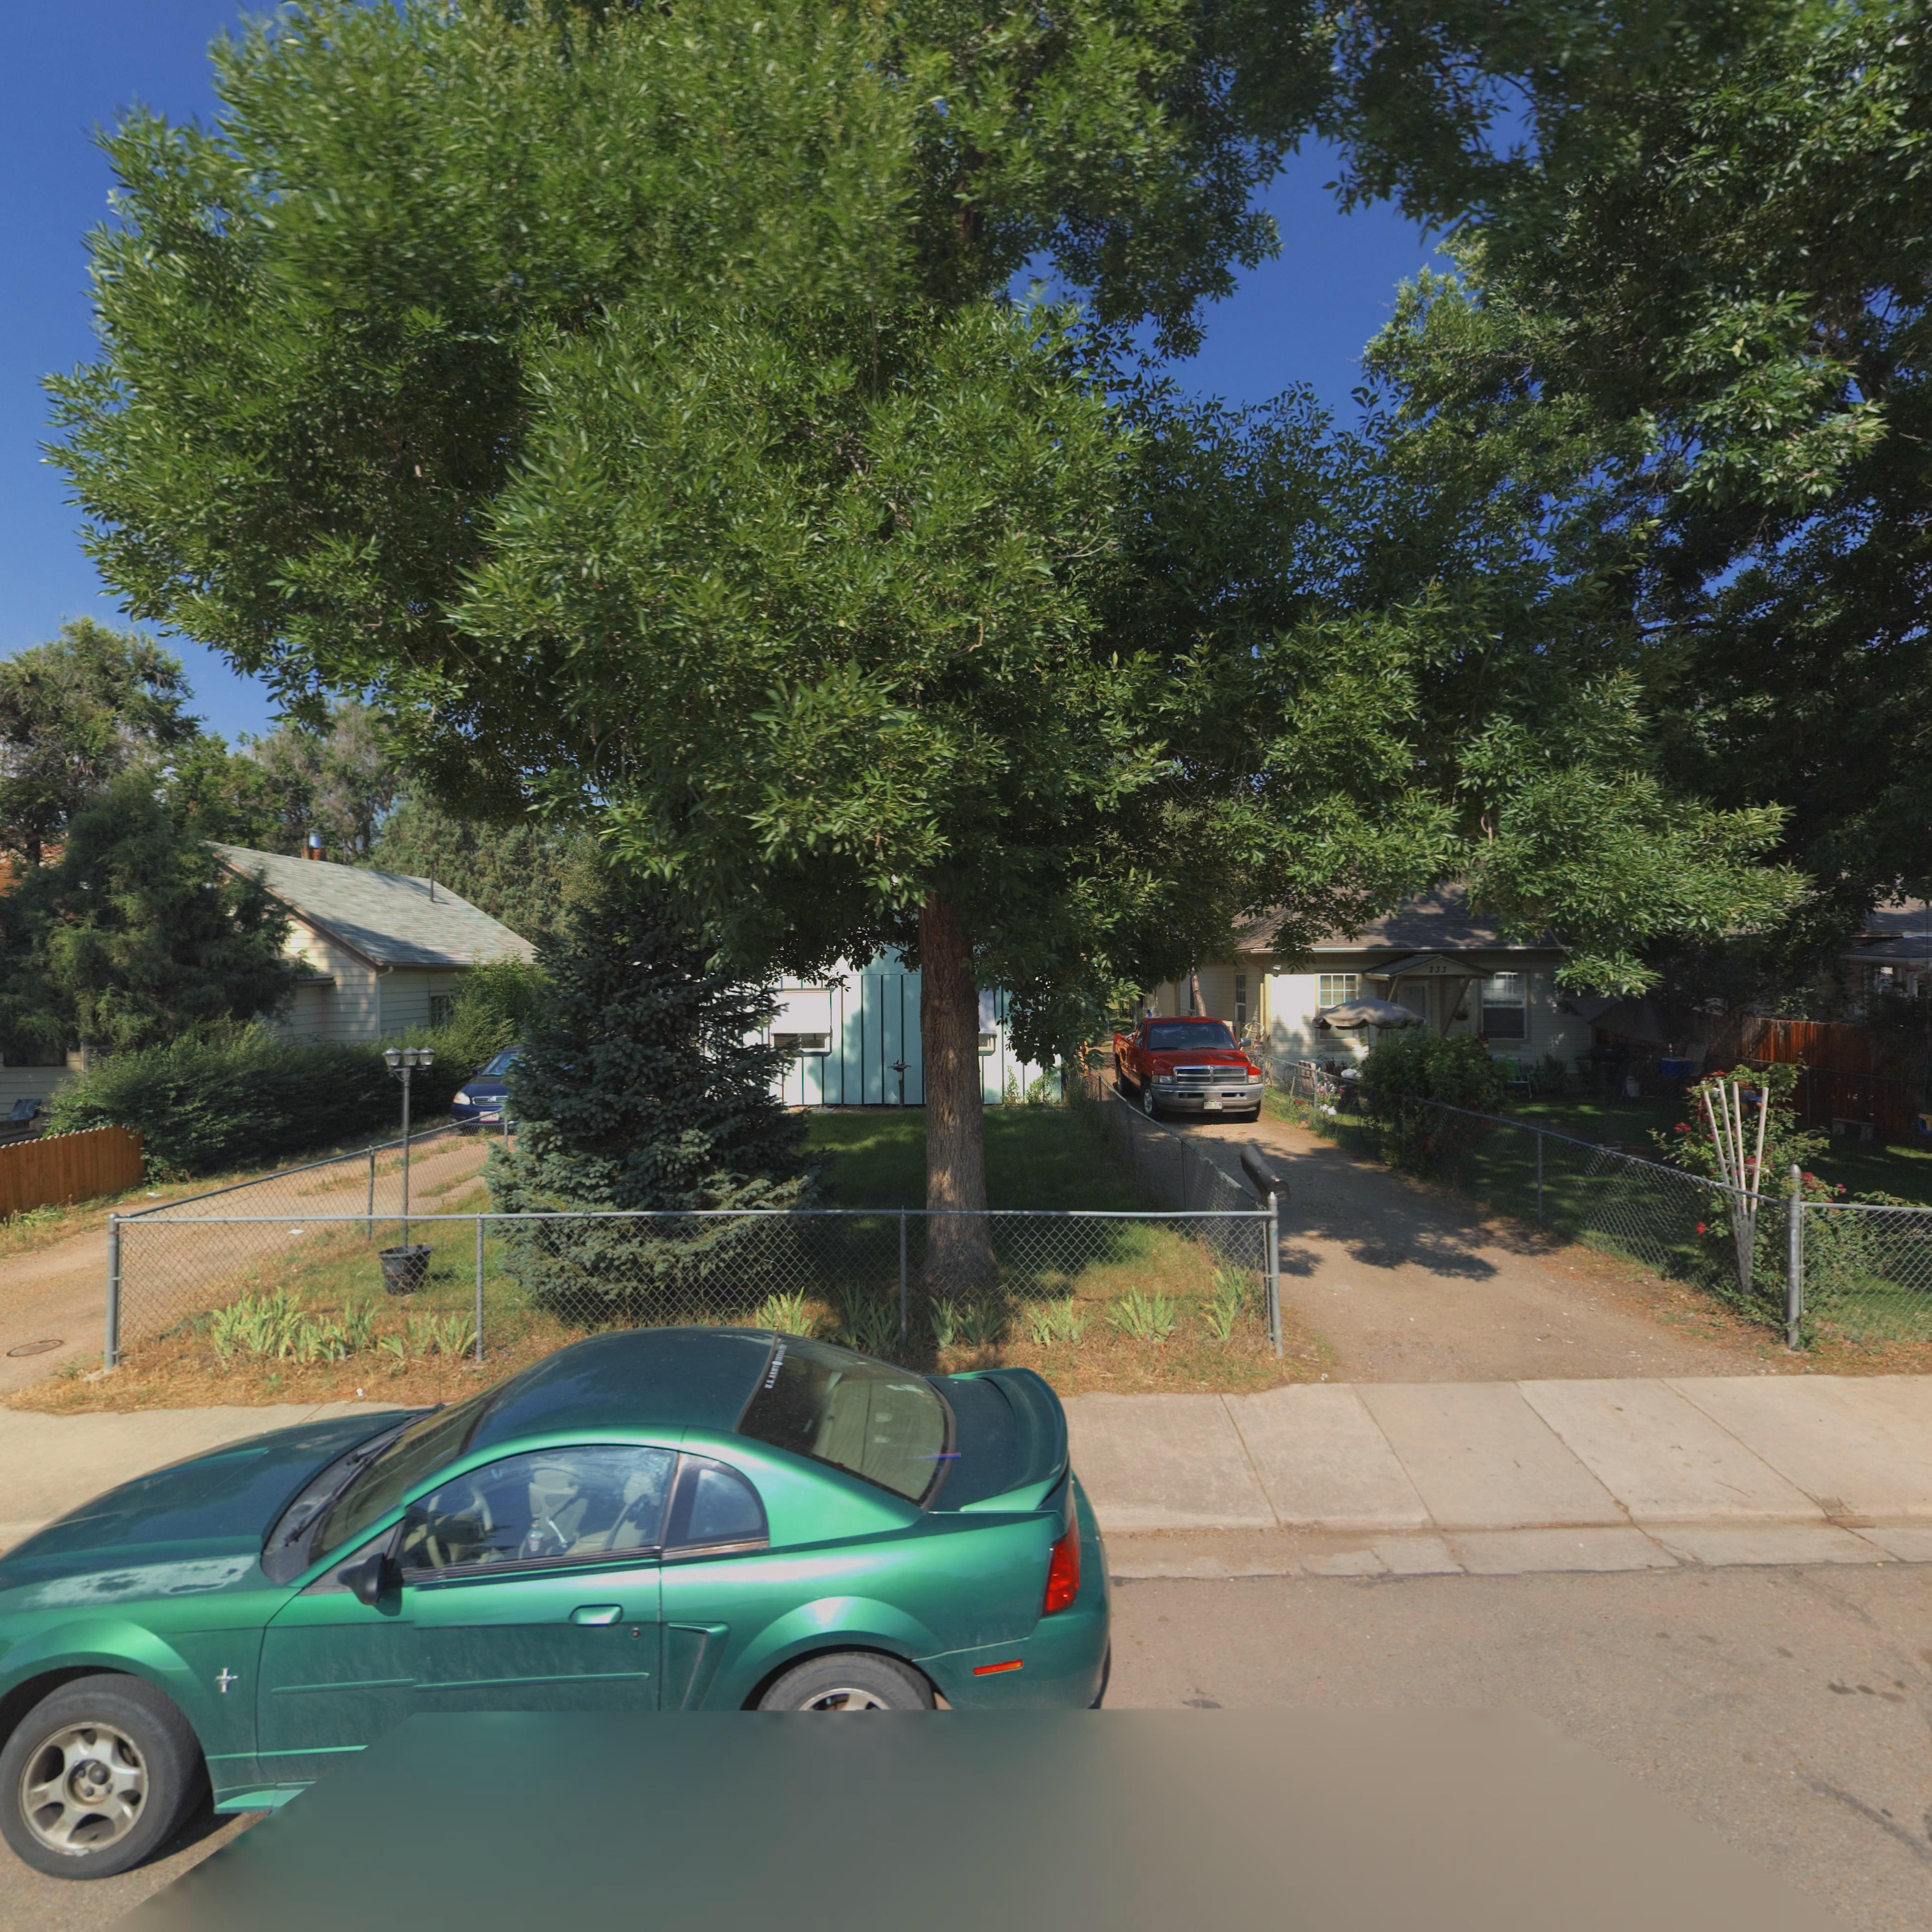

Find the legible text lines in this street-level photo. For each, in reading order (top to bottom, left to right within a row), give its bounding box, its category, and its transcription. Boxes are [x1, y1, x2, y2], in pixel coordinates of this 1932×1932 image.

[1428, 966, 1447, 973] StreetNumber: 233